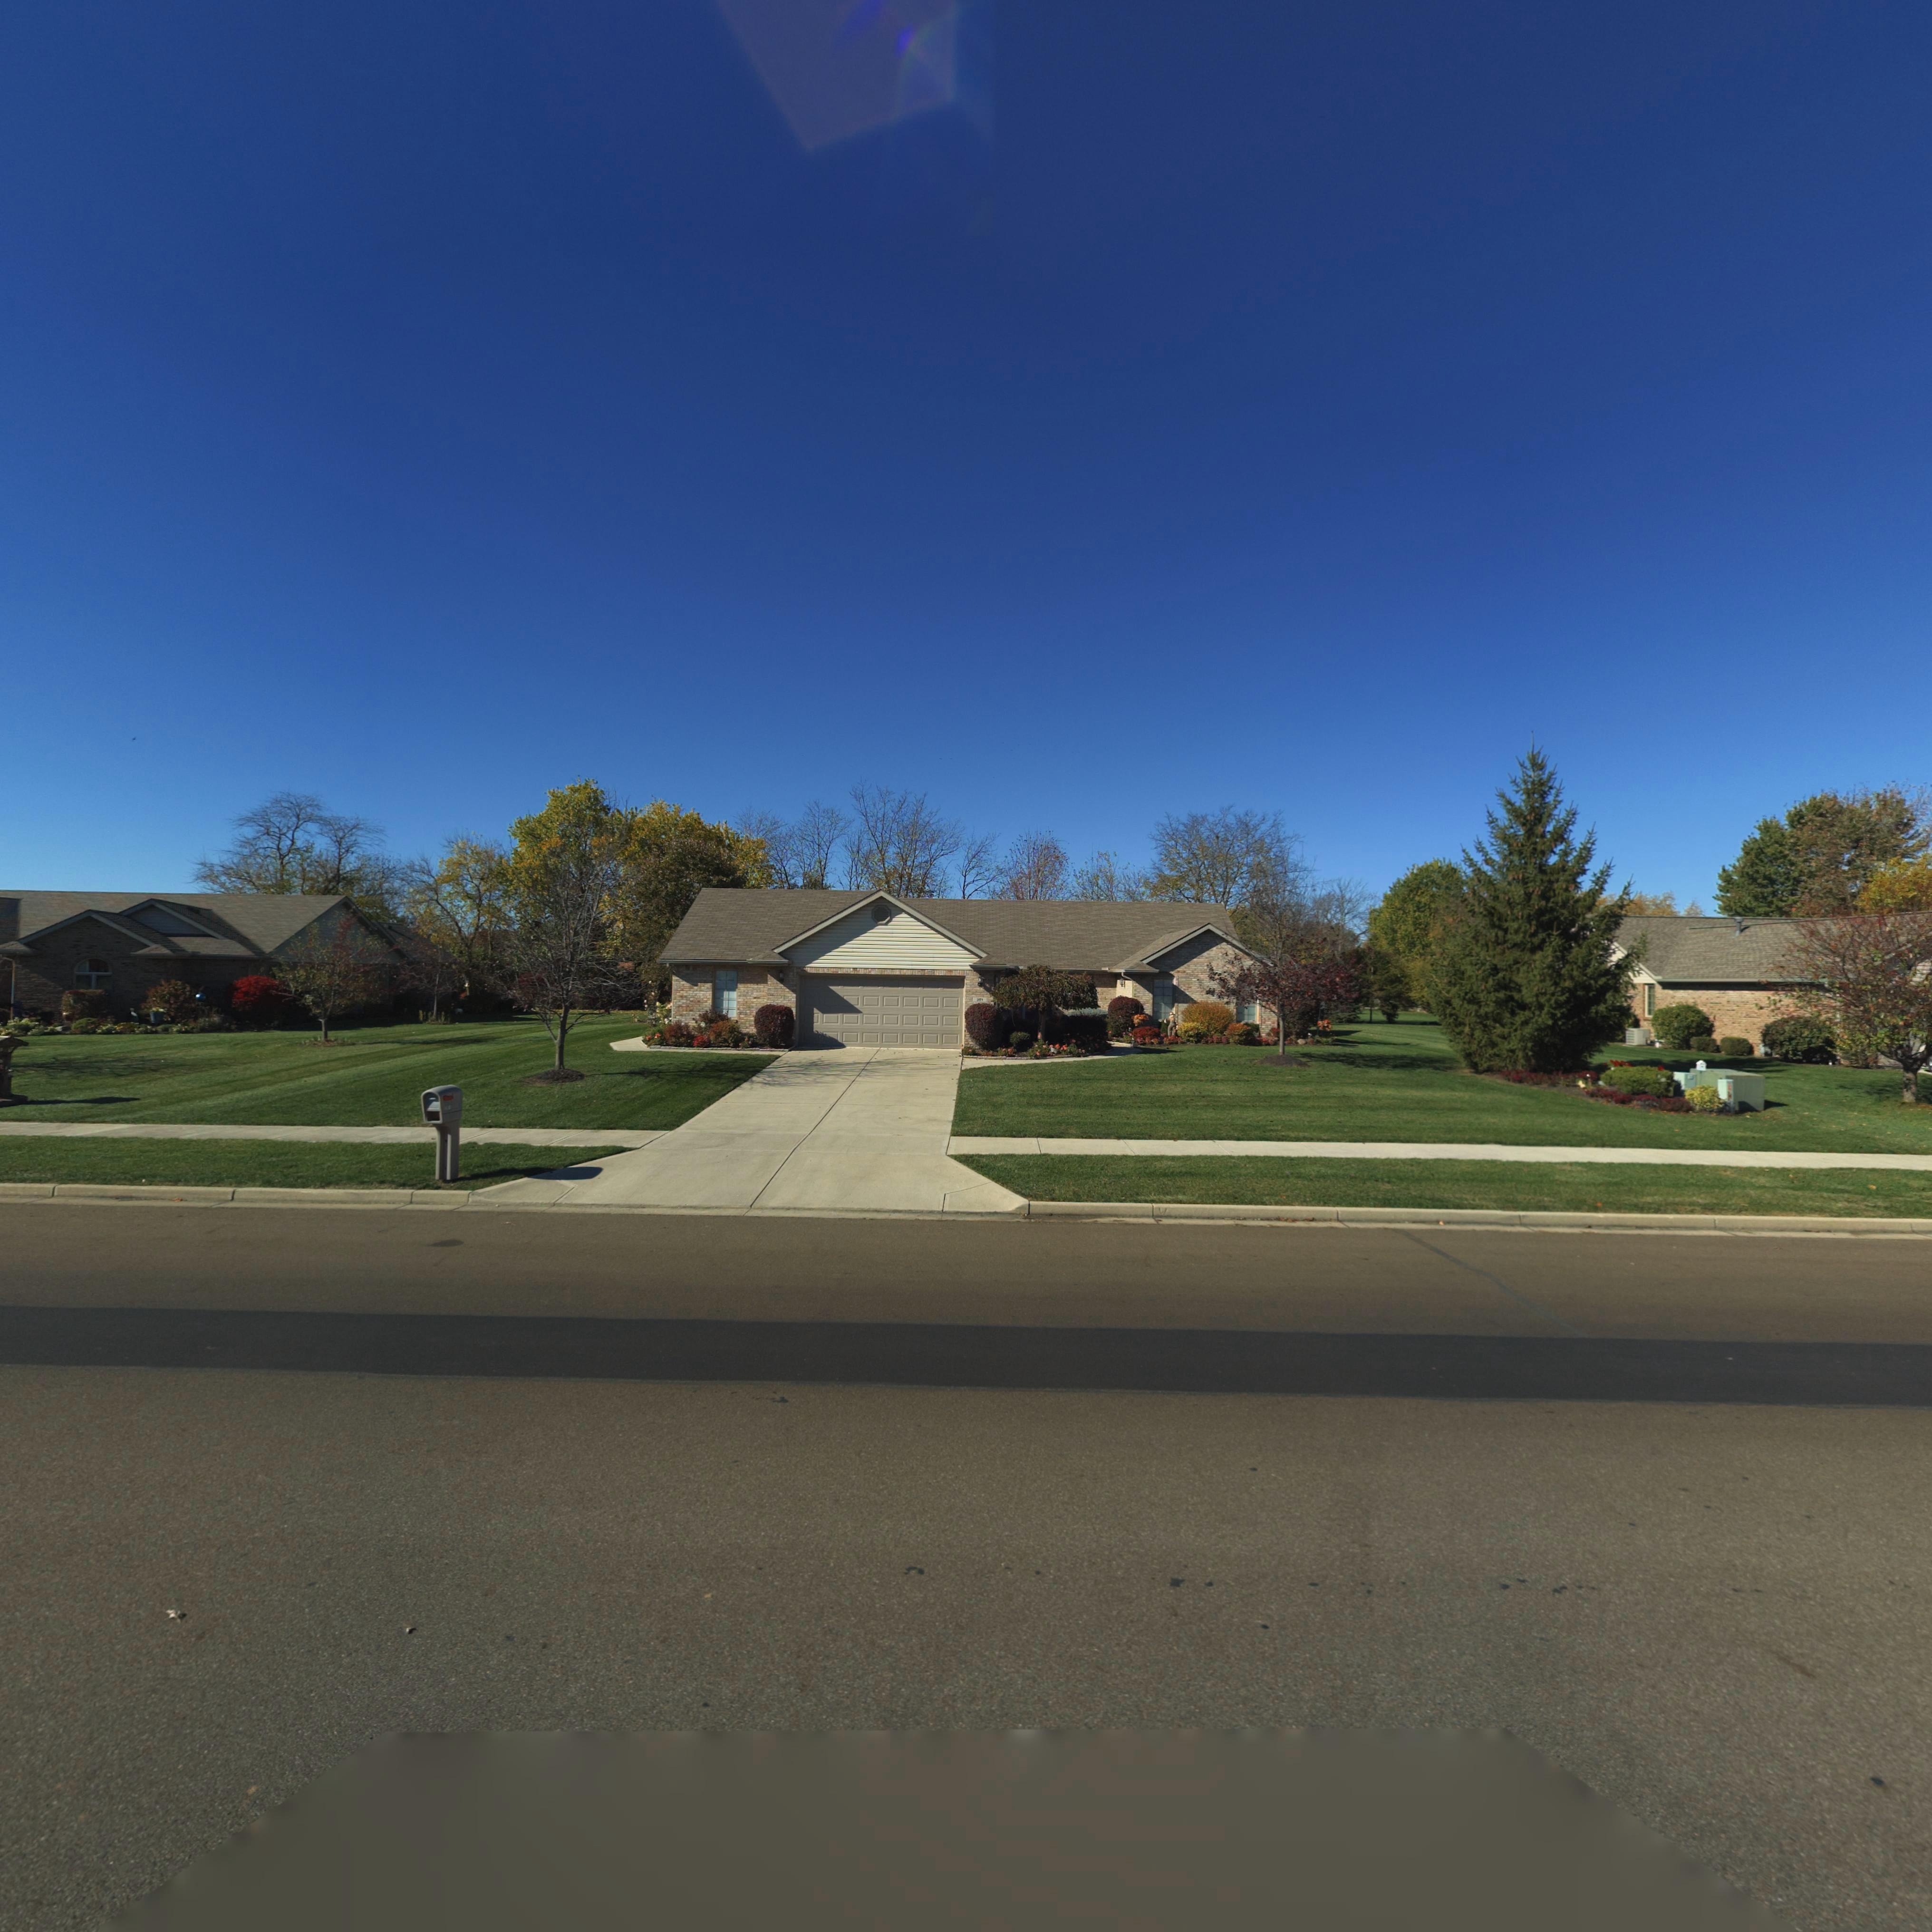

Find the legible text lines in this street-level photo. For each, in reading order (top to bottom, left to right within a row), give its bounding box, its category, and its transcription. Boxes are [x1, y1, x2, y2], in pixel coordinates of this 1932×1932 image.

[976, 998, 983, 1001] StreetNumber: 391